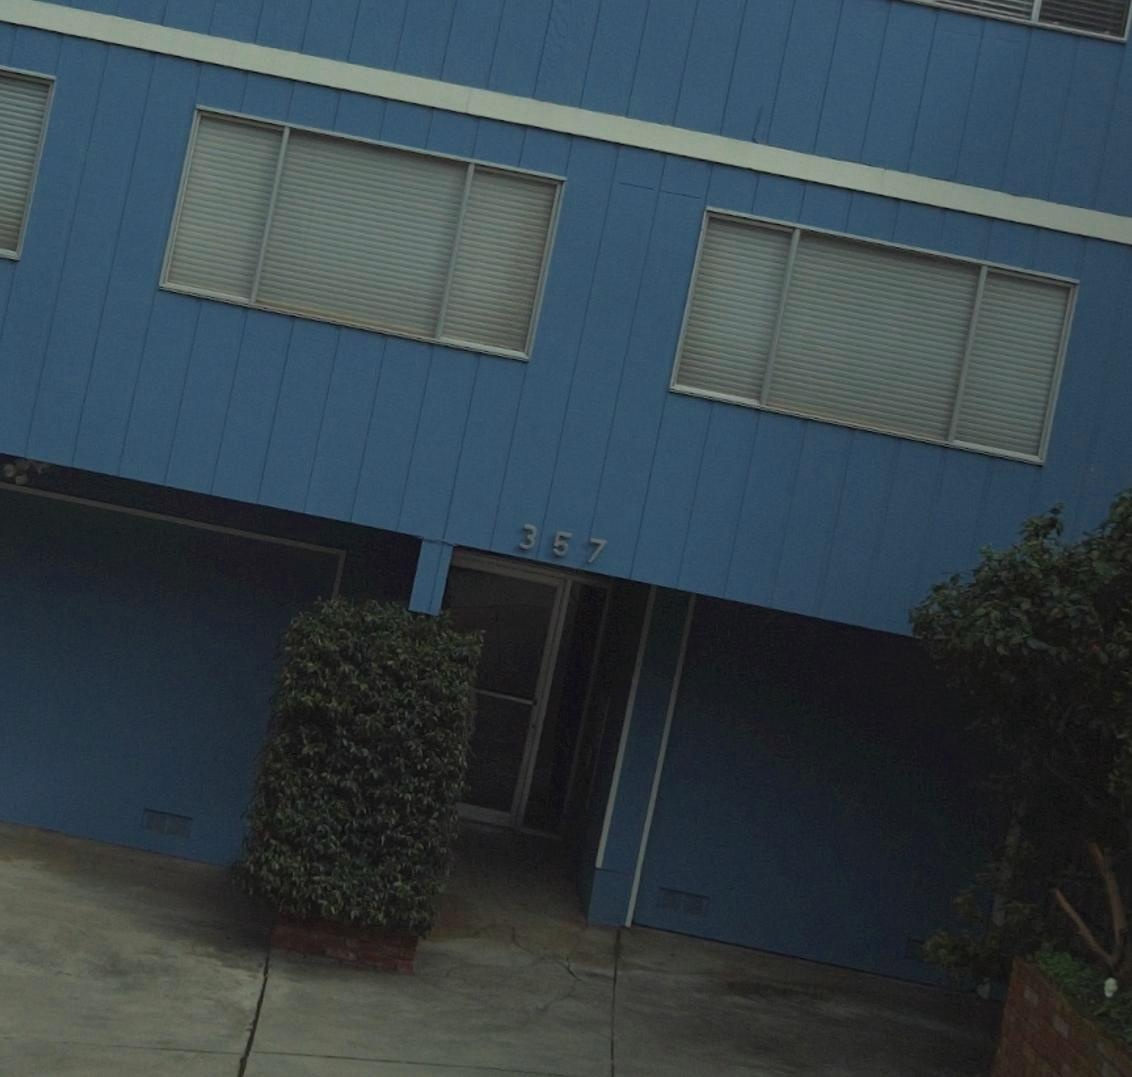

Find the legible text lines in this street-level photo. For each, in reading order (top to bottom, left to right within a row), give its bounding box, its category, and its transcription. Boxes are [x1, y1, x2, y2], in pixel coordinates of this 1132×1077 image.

[516, 521, 611, 565] StreetNumber: 357